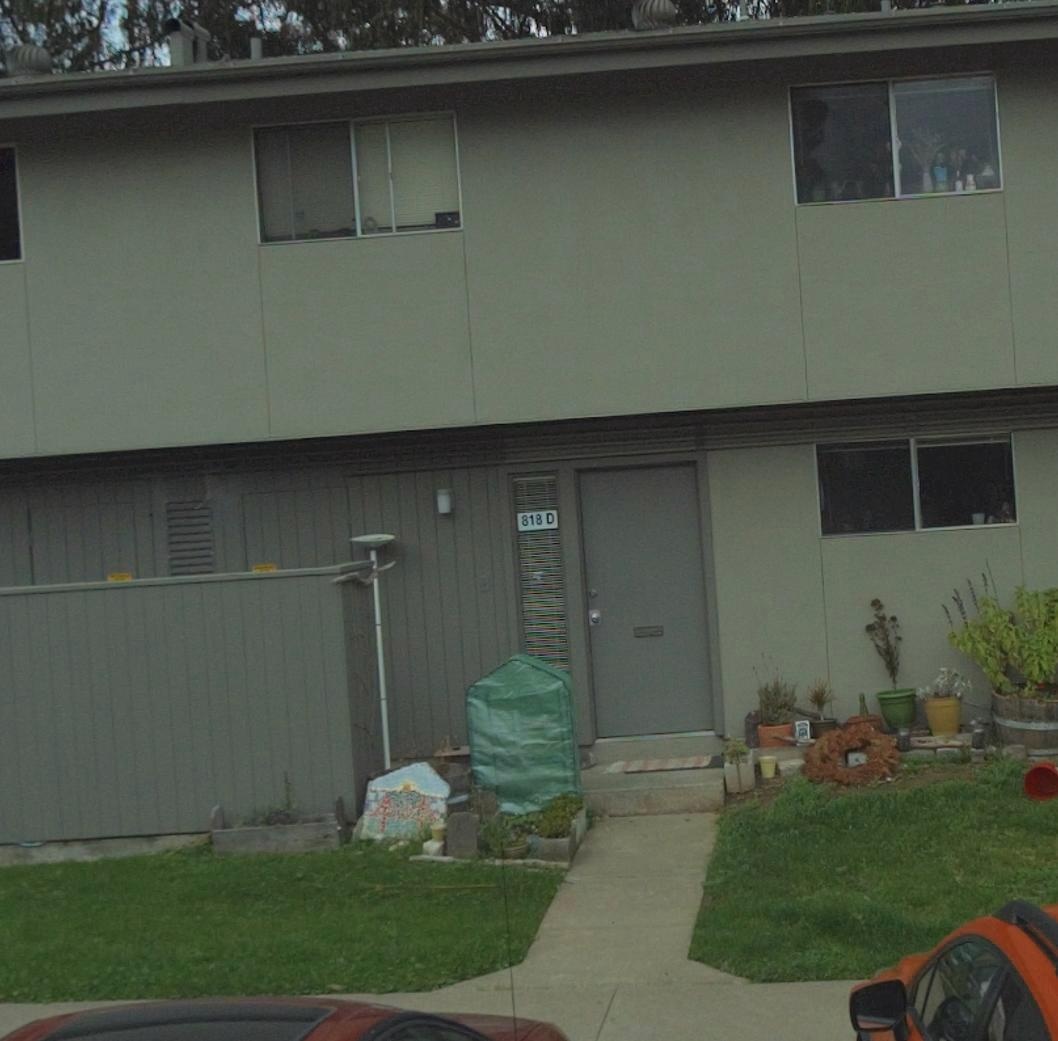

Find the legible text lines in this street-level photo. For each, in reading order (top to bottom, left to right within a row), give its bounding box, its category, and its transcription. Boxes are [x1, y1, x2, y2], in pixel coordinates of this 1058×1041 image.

[520, 511, 555, 528] StreetNumber: 818 D